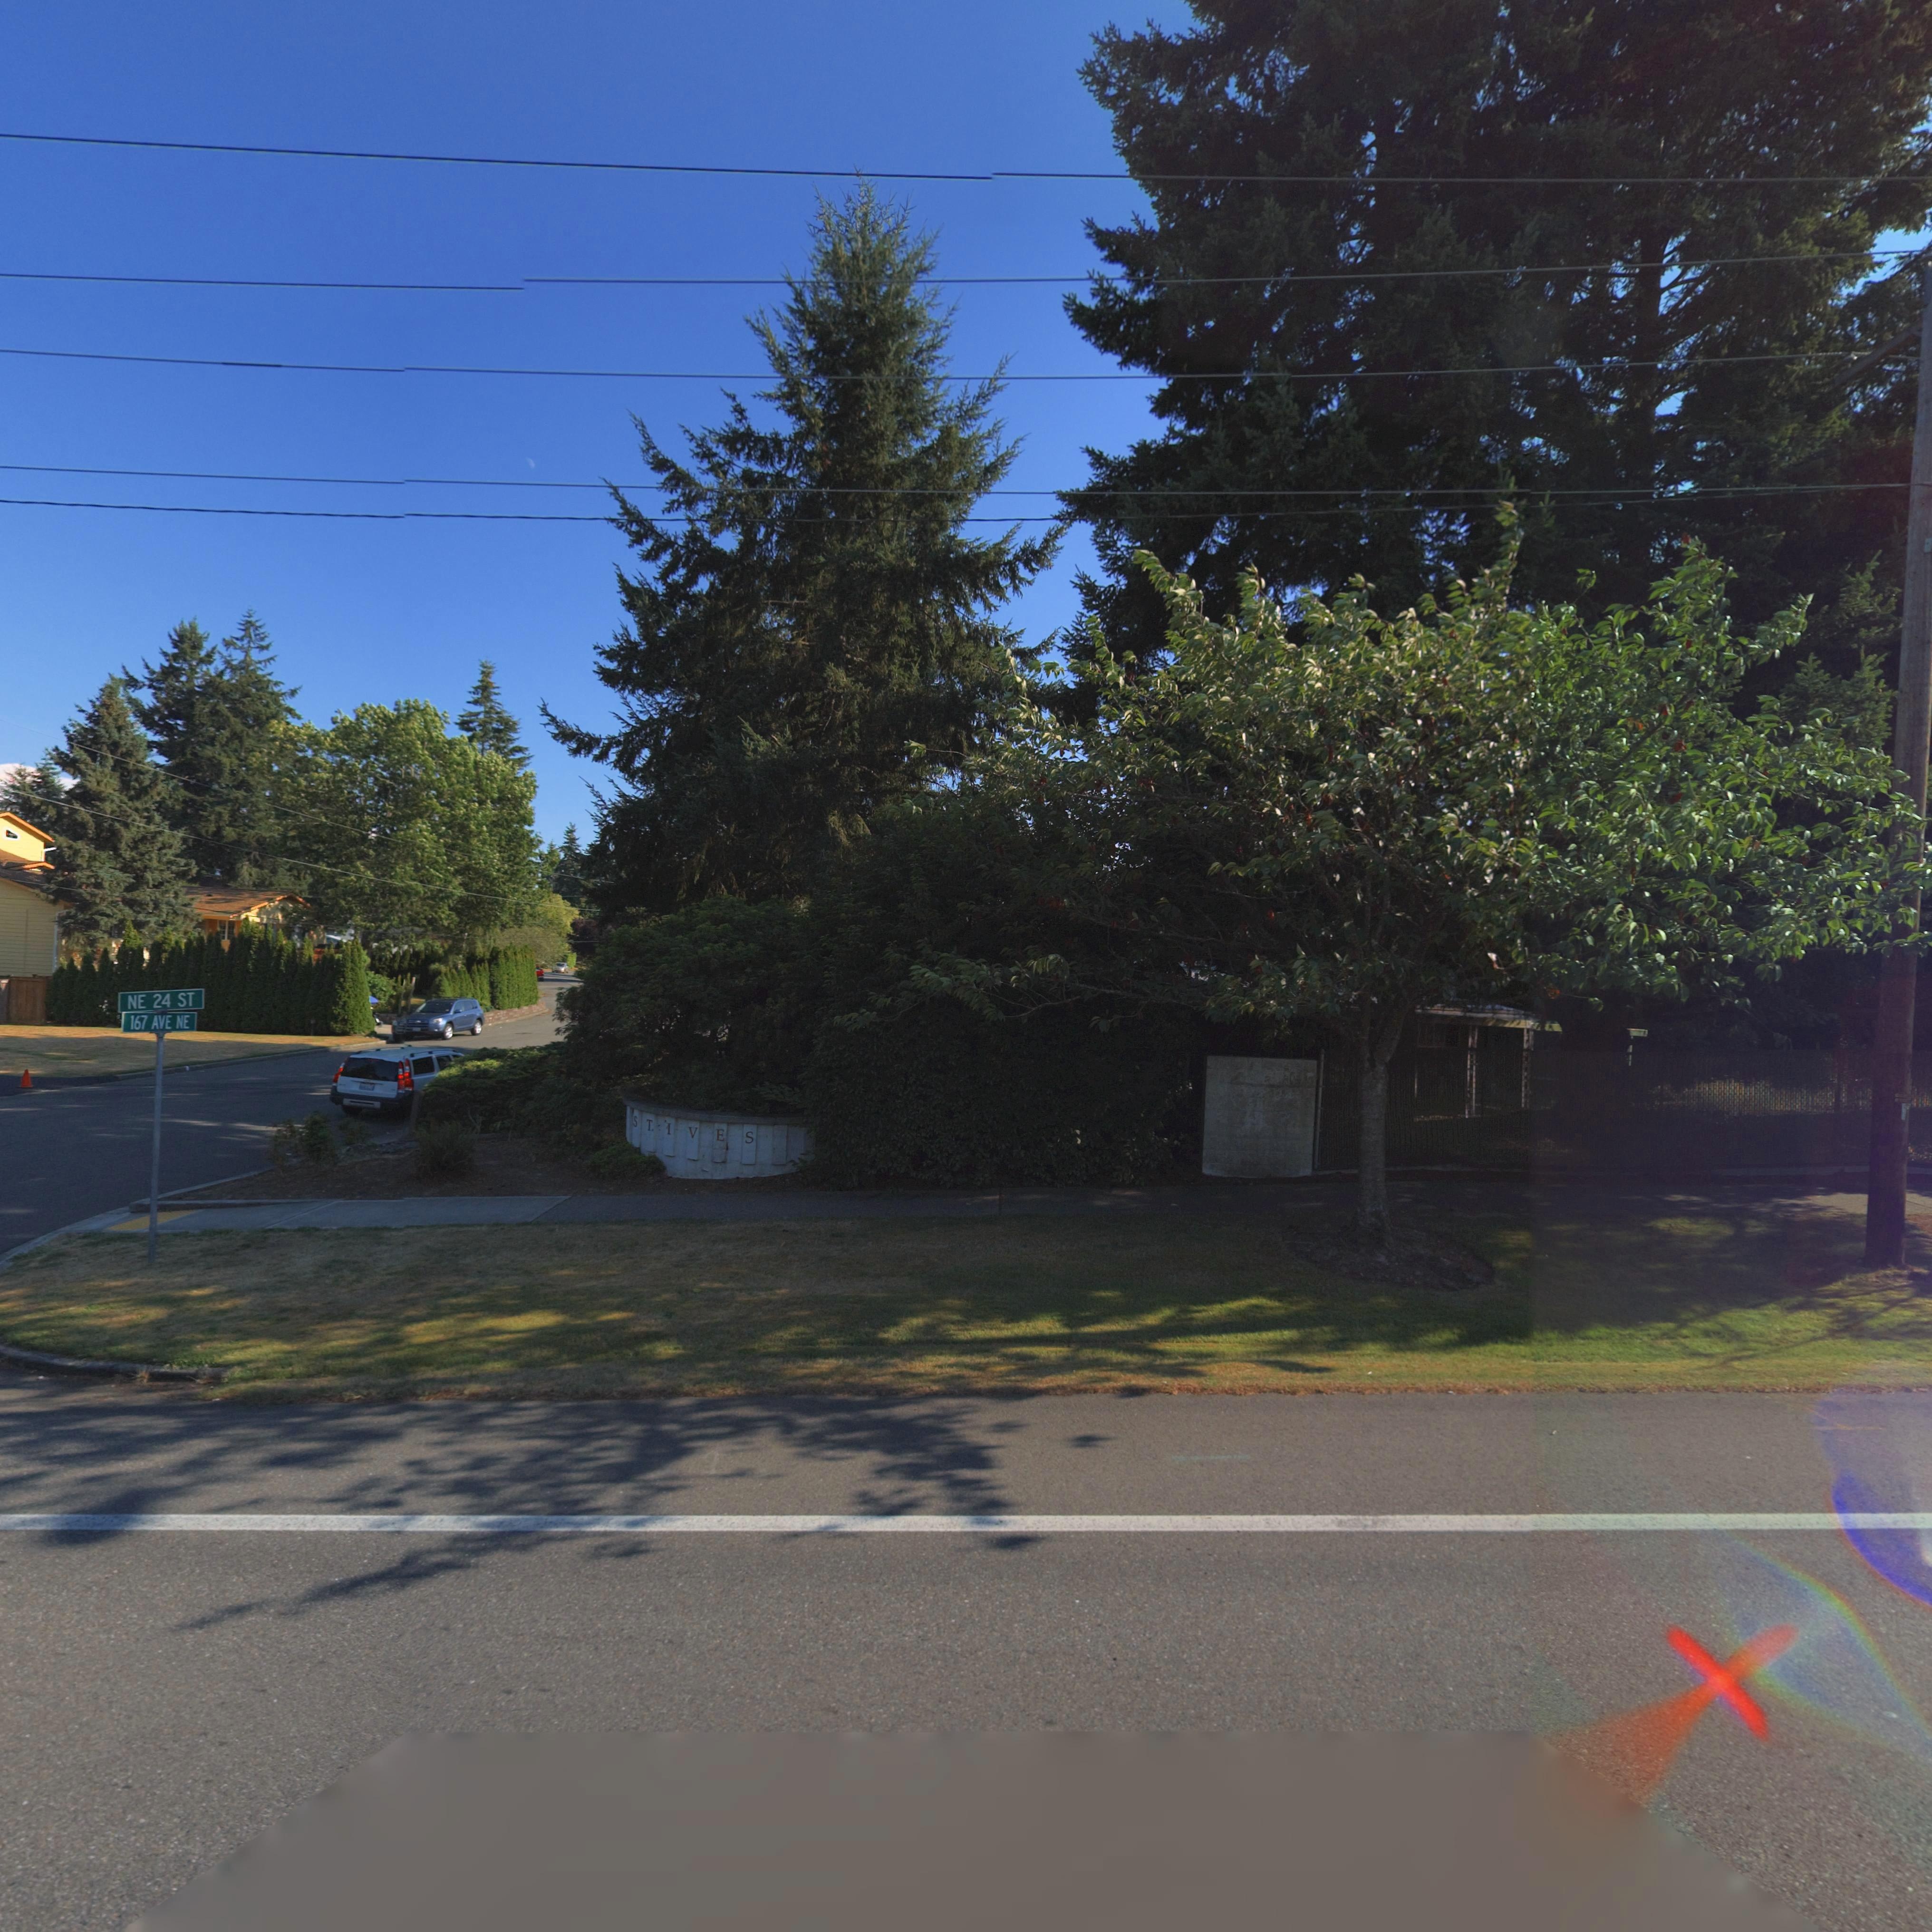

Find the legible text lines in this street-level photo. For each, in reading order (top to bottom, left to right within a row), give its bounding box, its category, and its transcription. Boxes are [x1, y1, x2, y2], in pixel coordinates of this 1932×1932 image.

[127, 991, 196, 1010] StreetName: NE 24 ST
[130, 1014, 191, 1030] StreetName: 167 AVE NE